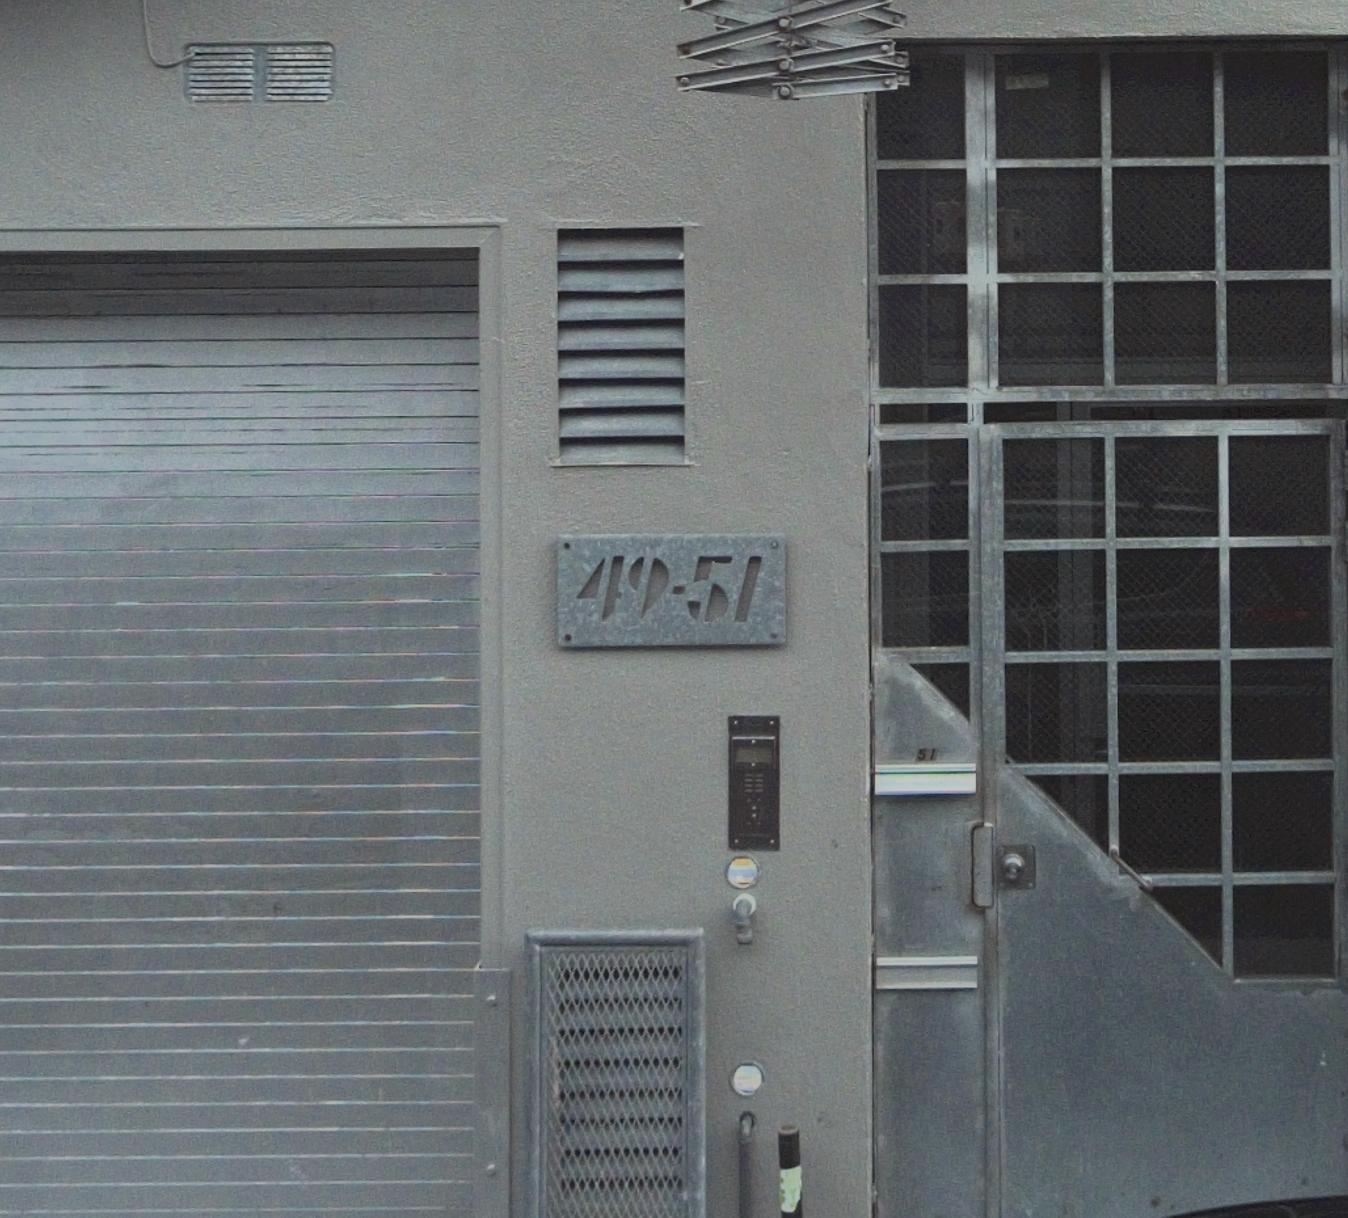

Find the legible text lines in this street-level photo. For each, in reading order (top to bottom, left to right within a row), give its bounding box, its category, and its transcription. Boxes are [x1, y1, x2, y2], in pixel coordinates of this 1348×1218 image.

[572, 552, 674, 625] StreetNumber: 49
[682, 552, 769, 629] StreetNumber: 51
[912, 745, 942, 764] StreetNumber: 51